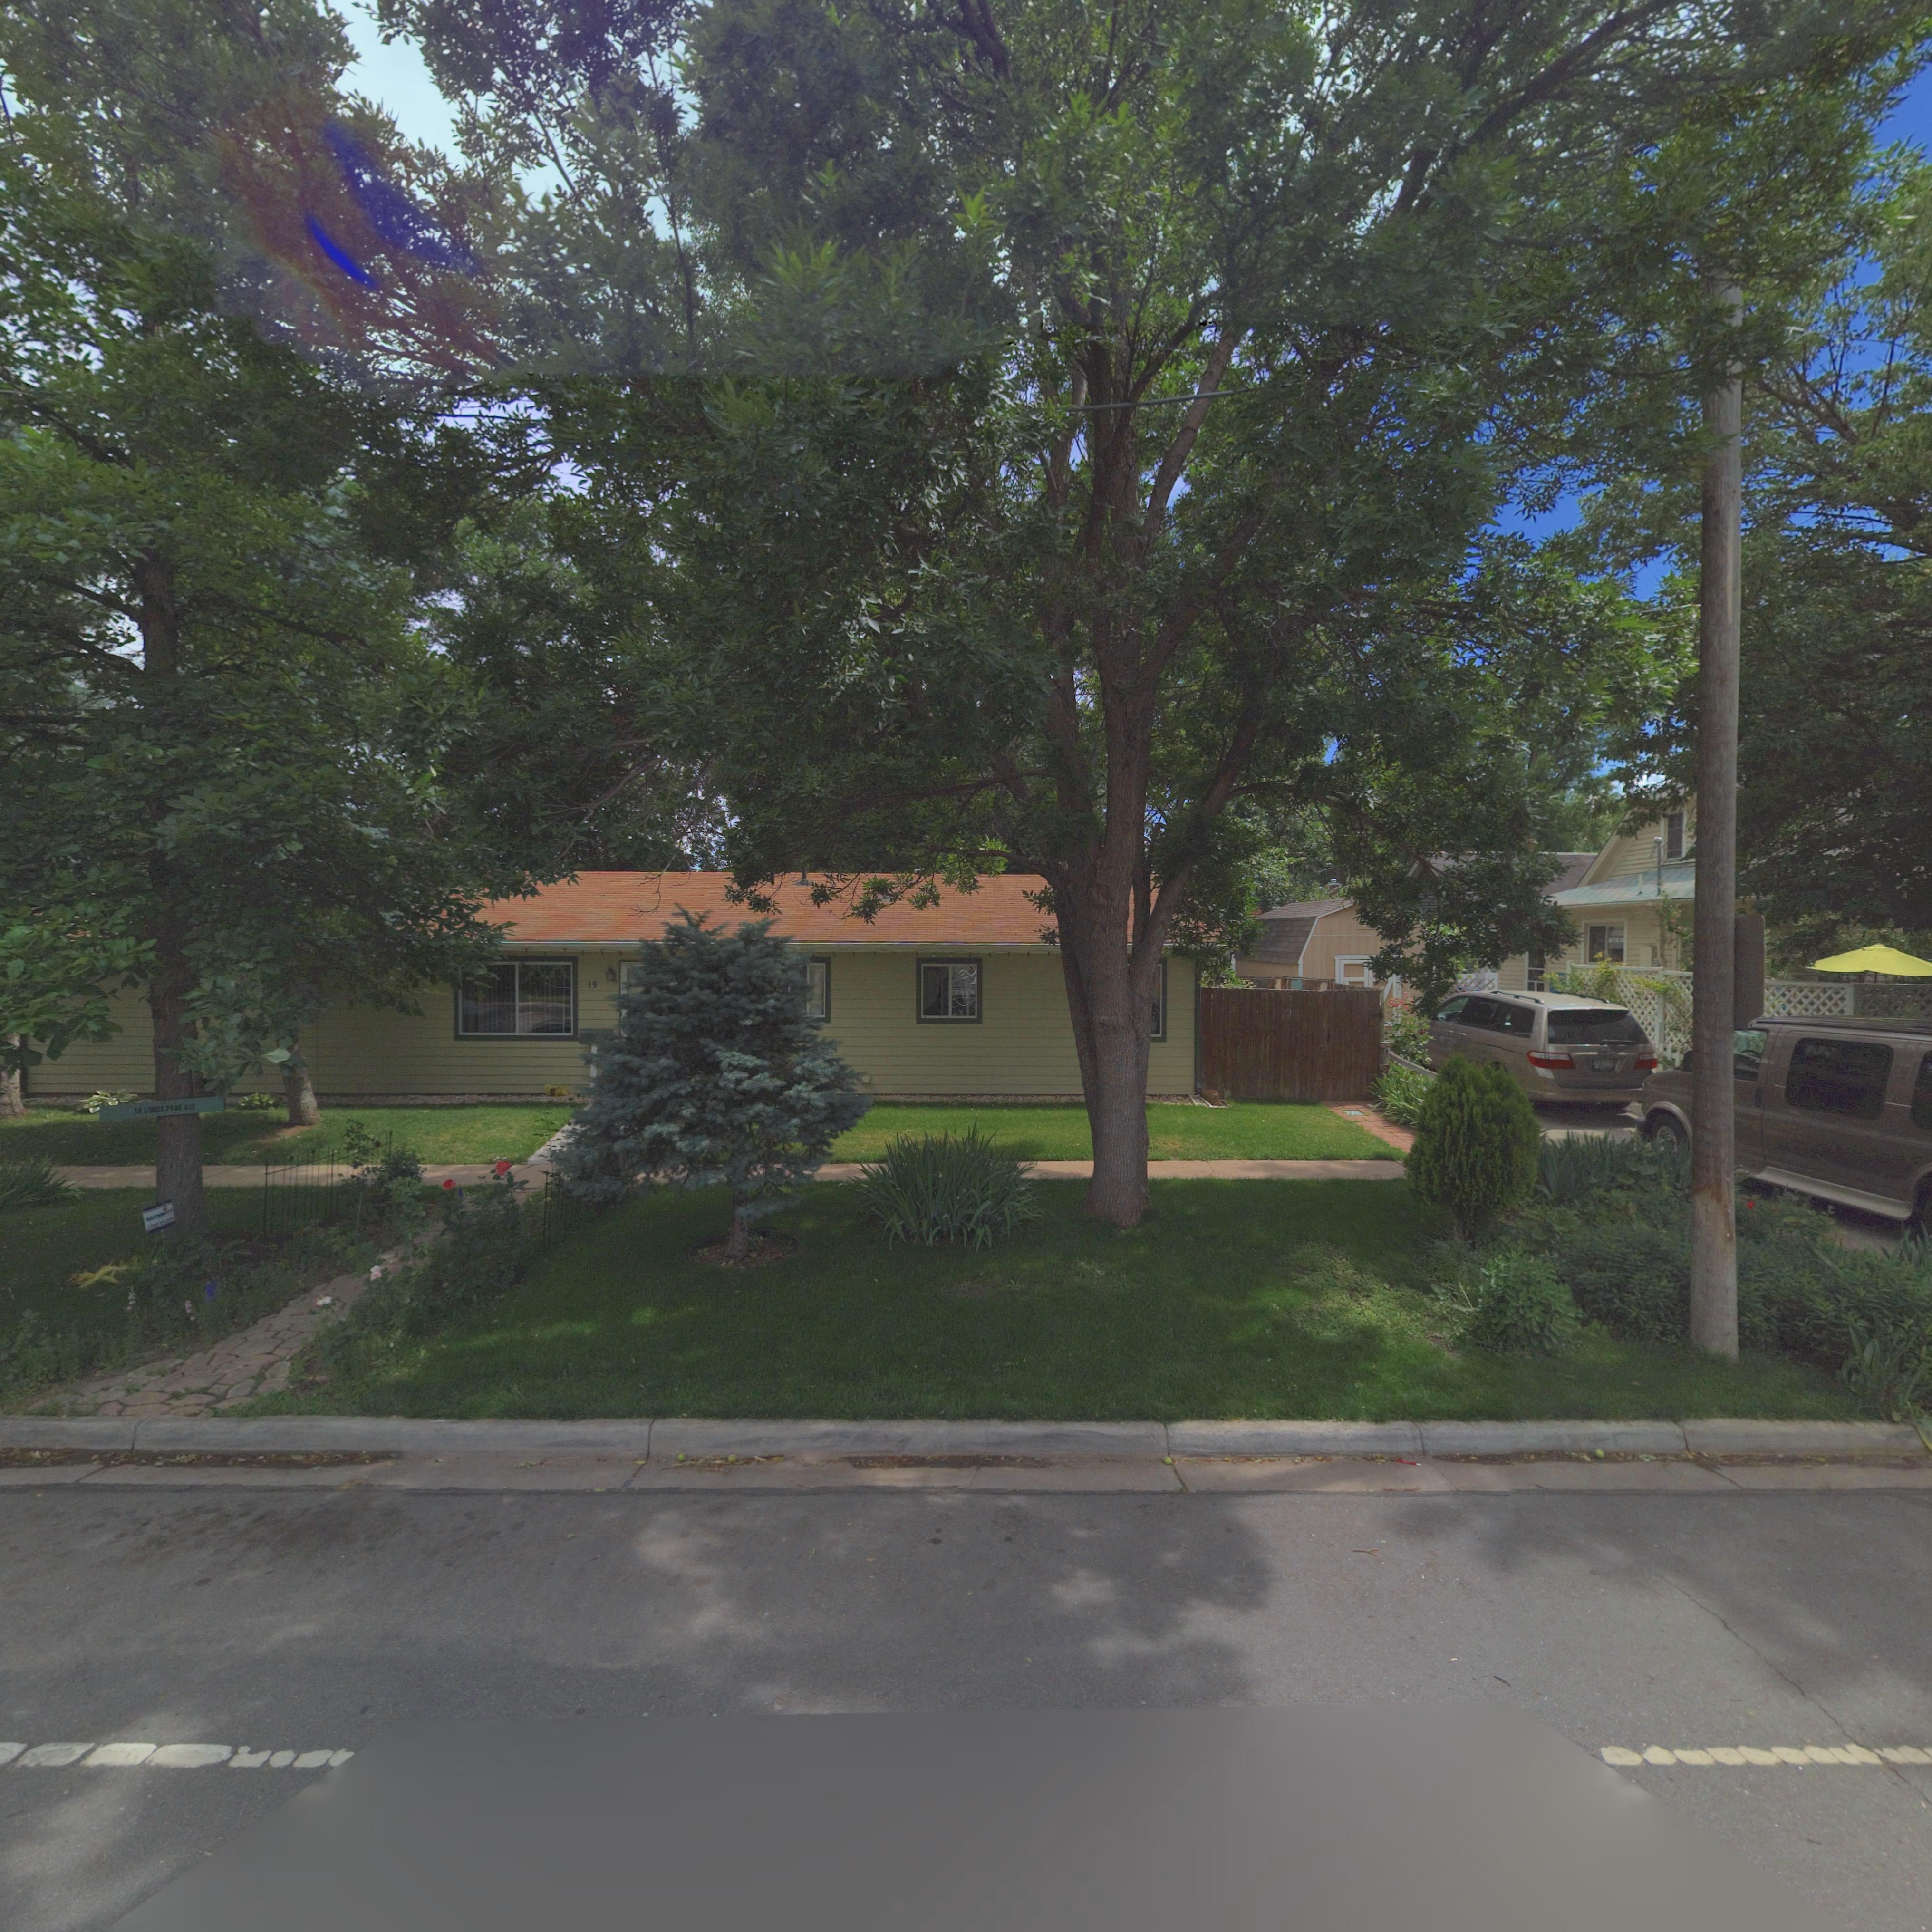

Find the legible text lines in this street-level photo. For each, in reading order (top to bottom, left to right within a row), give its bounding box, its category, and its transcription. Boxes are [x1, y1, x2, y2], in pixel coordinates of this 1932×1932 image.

[587, 981, 597, 988] StreetNumber: 19